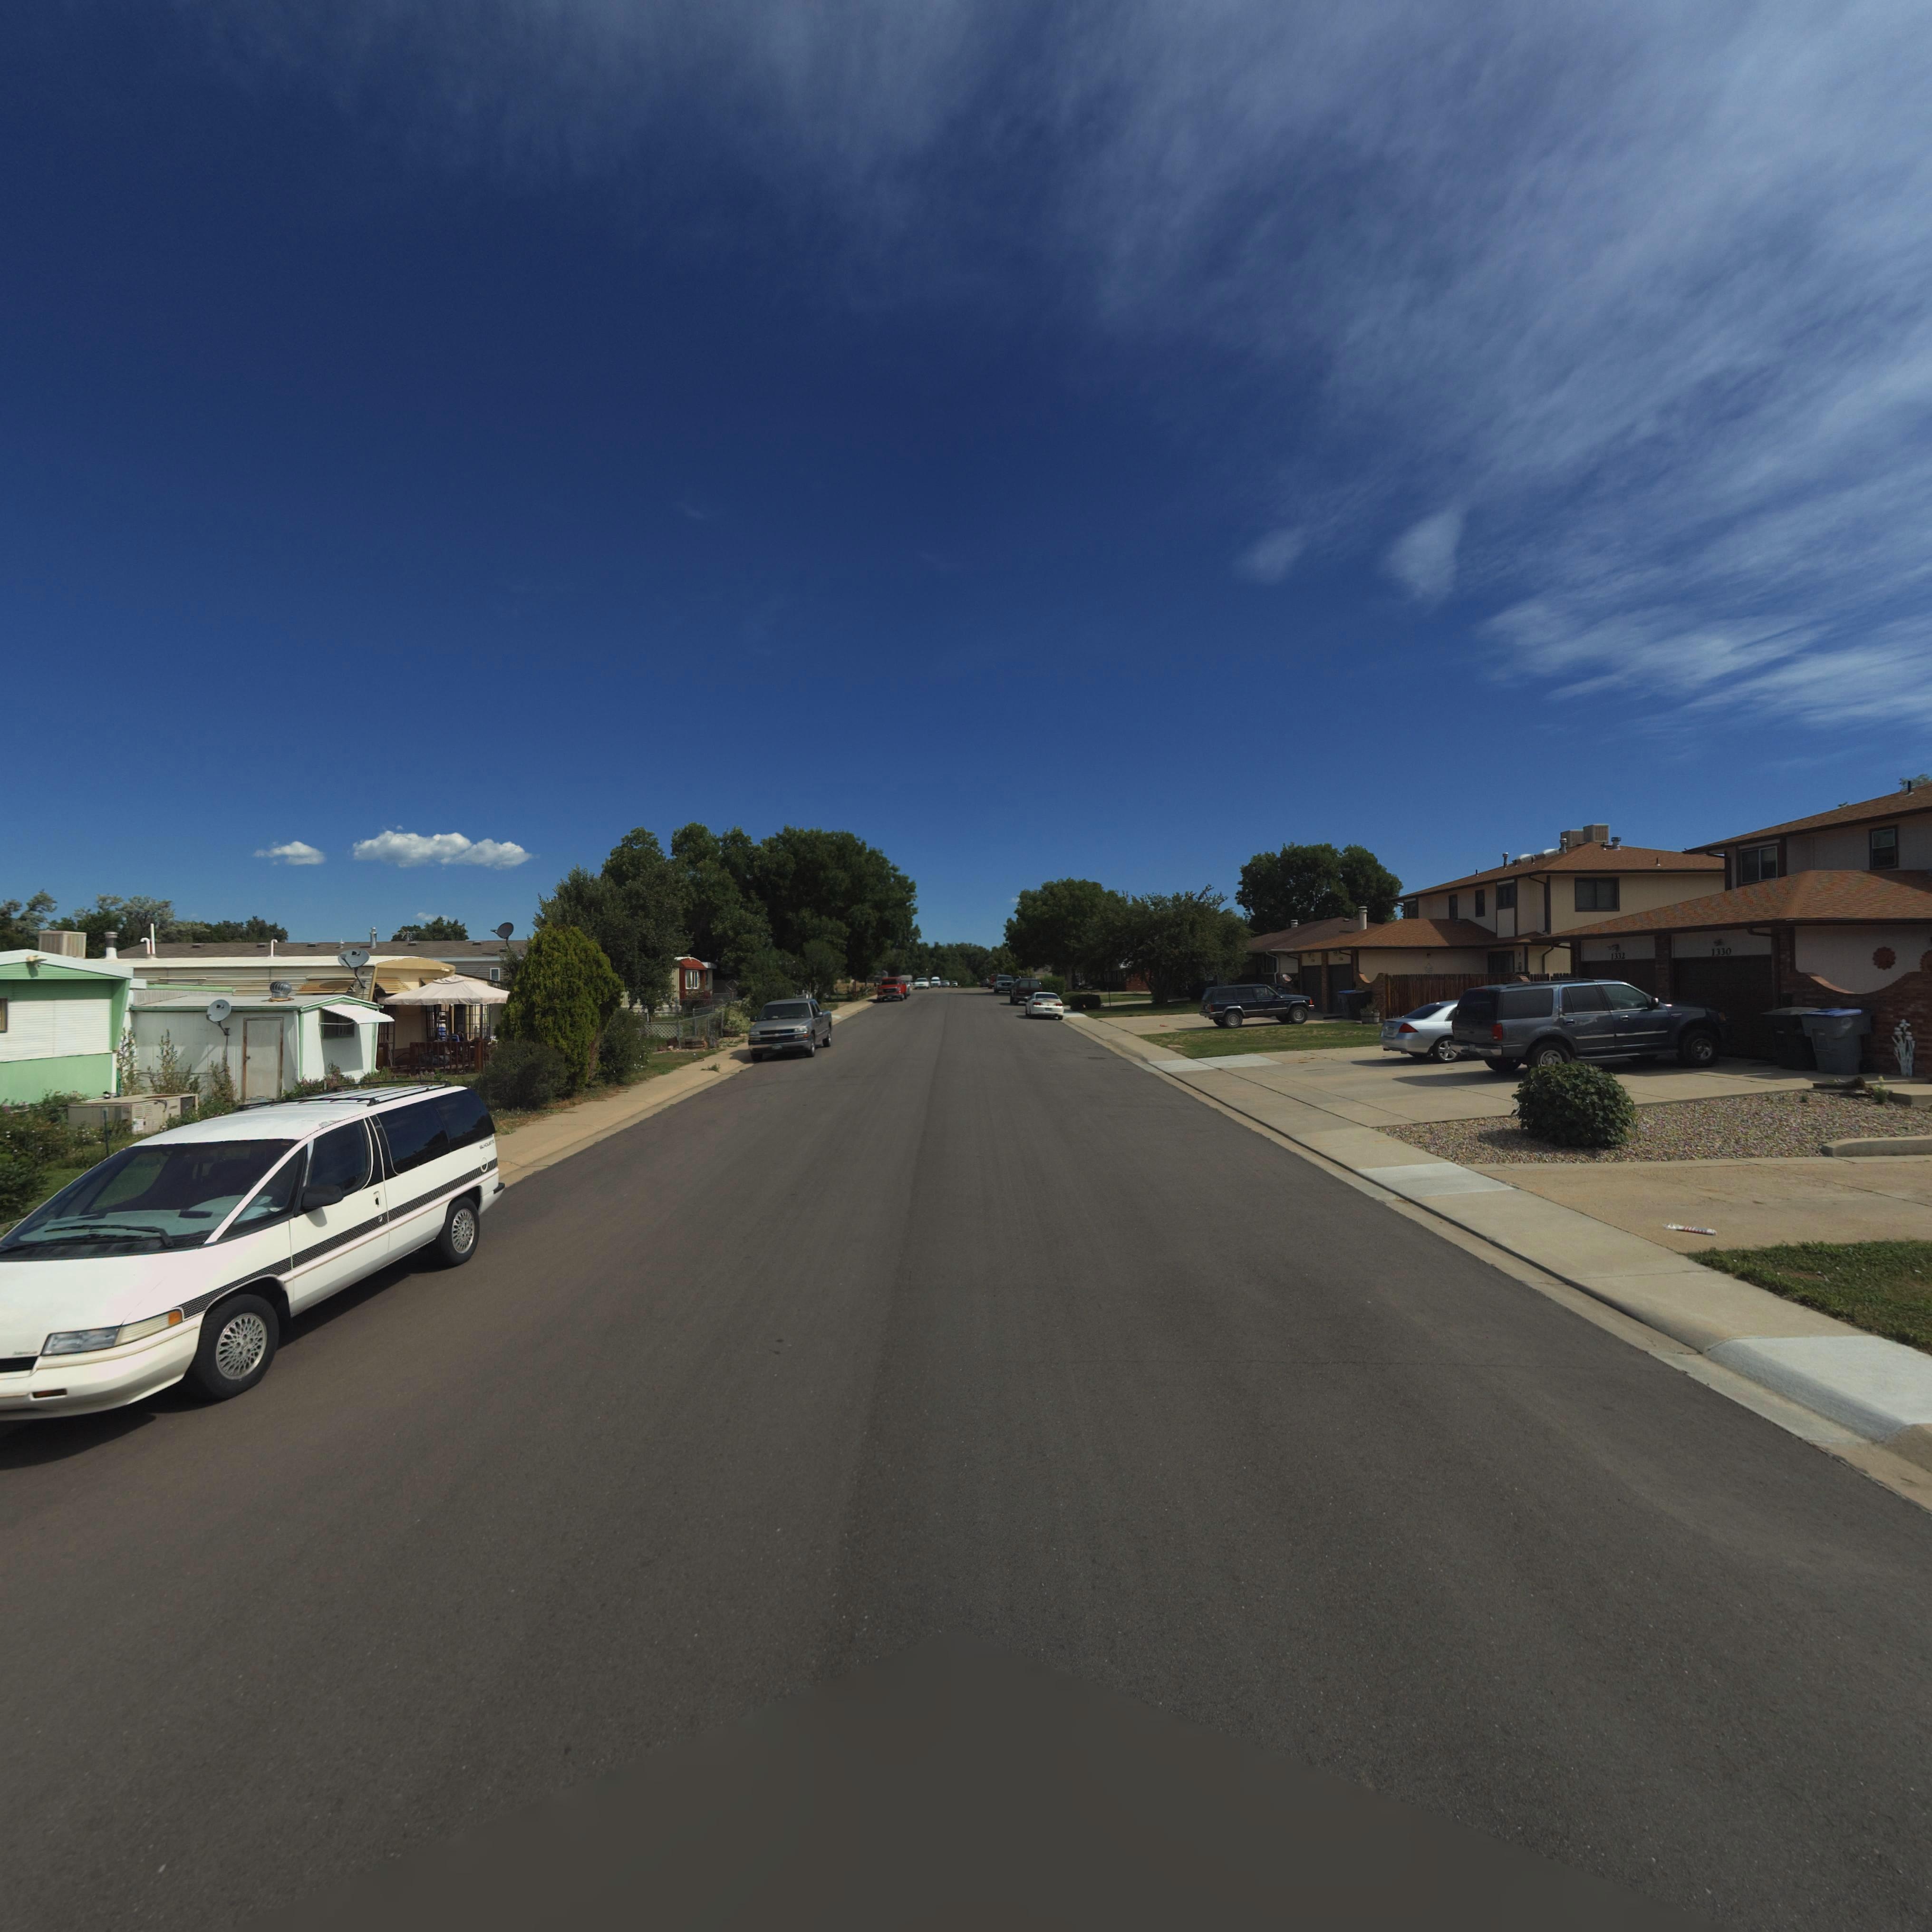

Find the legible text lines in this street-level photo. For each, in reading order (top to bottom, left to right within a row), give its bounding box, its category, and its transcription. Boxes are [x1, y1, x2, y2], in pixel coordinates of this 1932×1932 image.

[1611, 952, 1626, 960] StreetNumber: 1332
[1711, 947, 1731, 956] StreetNumber: 1330